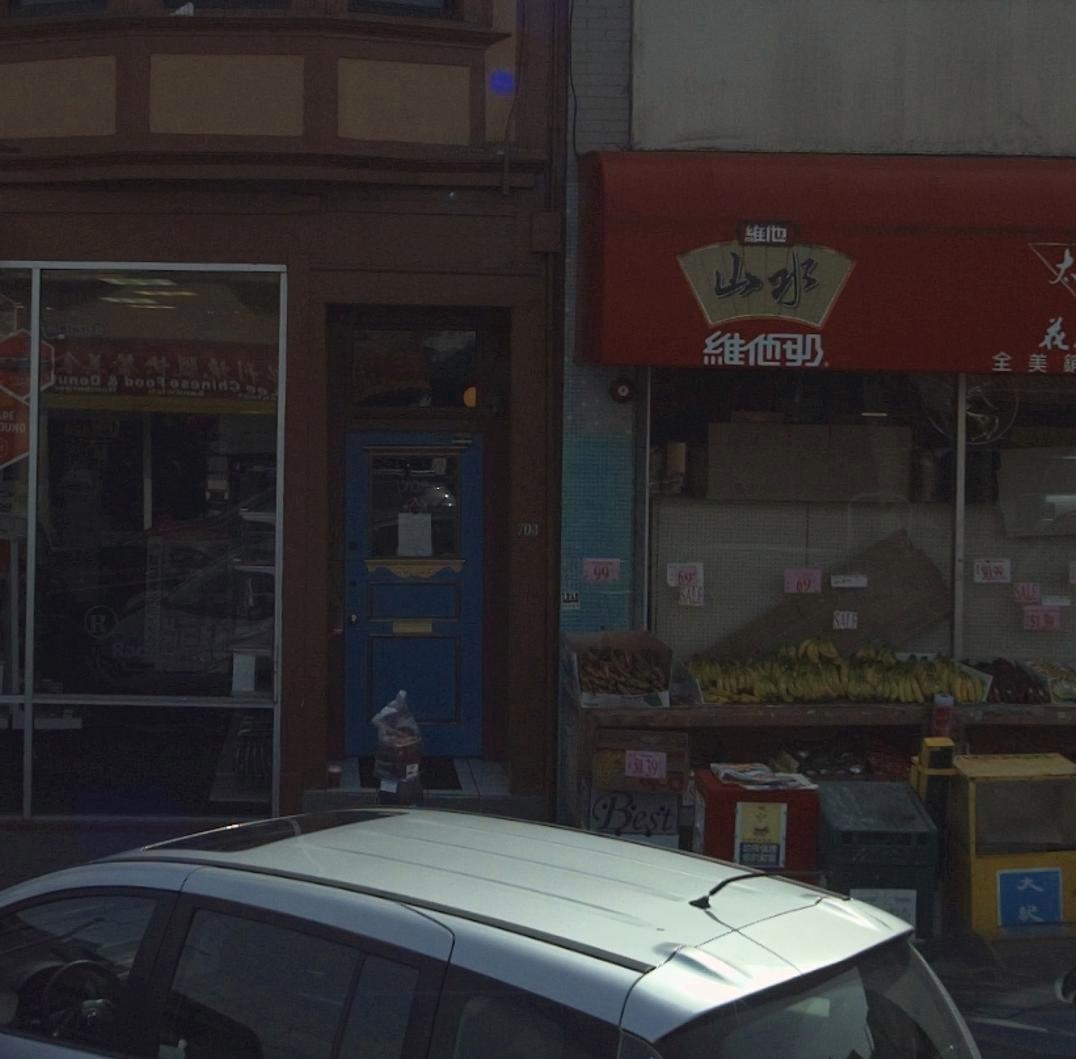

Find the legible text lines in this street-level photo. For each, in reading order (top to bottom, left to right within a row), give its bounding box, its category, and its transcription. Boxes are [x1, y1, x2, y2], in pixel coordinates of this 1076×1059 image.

[57, 372, 244, 394] None: **o* * *oo* ****i** **
[7, 408, 17, 423] None: E
[3, 421, 29, 436] None: UND
[516, 521, 540, 537] StreetNumber: 703
[592, 565, 610, 582] None: 99
[676, 569, 693, 586] None: 69
[678, 586, 703, 605] None: SALE
[796, 577, 812, 593] None: 69
[991, 564, 1004, 580] None: 99
[1013, 583, 1039, 601] None: SALE
[88, 614, 108, 633] None: R
[832, 611, 859, 631] None: SALE
[110, 640, 137, 659] BusinessName: Ra
[644, 758, 659, 777] None: 39
[591, 790, 676, 833] None: Best